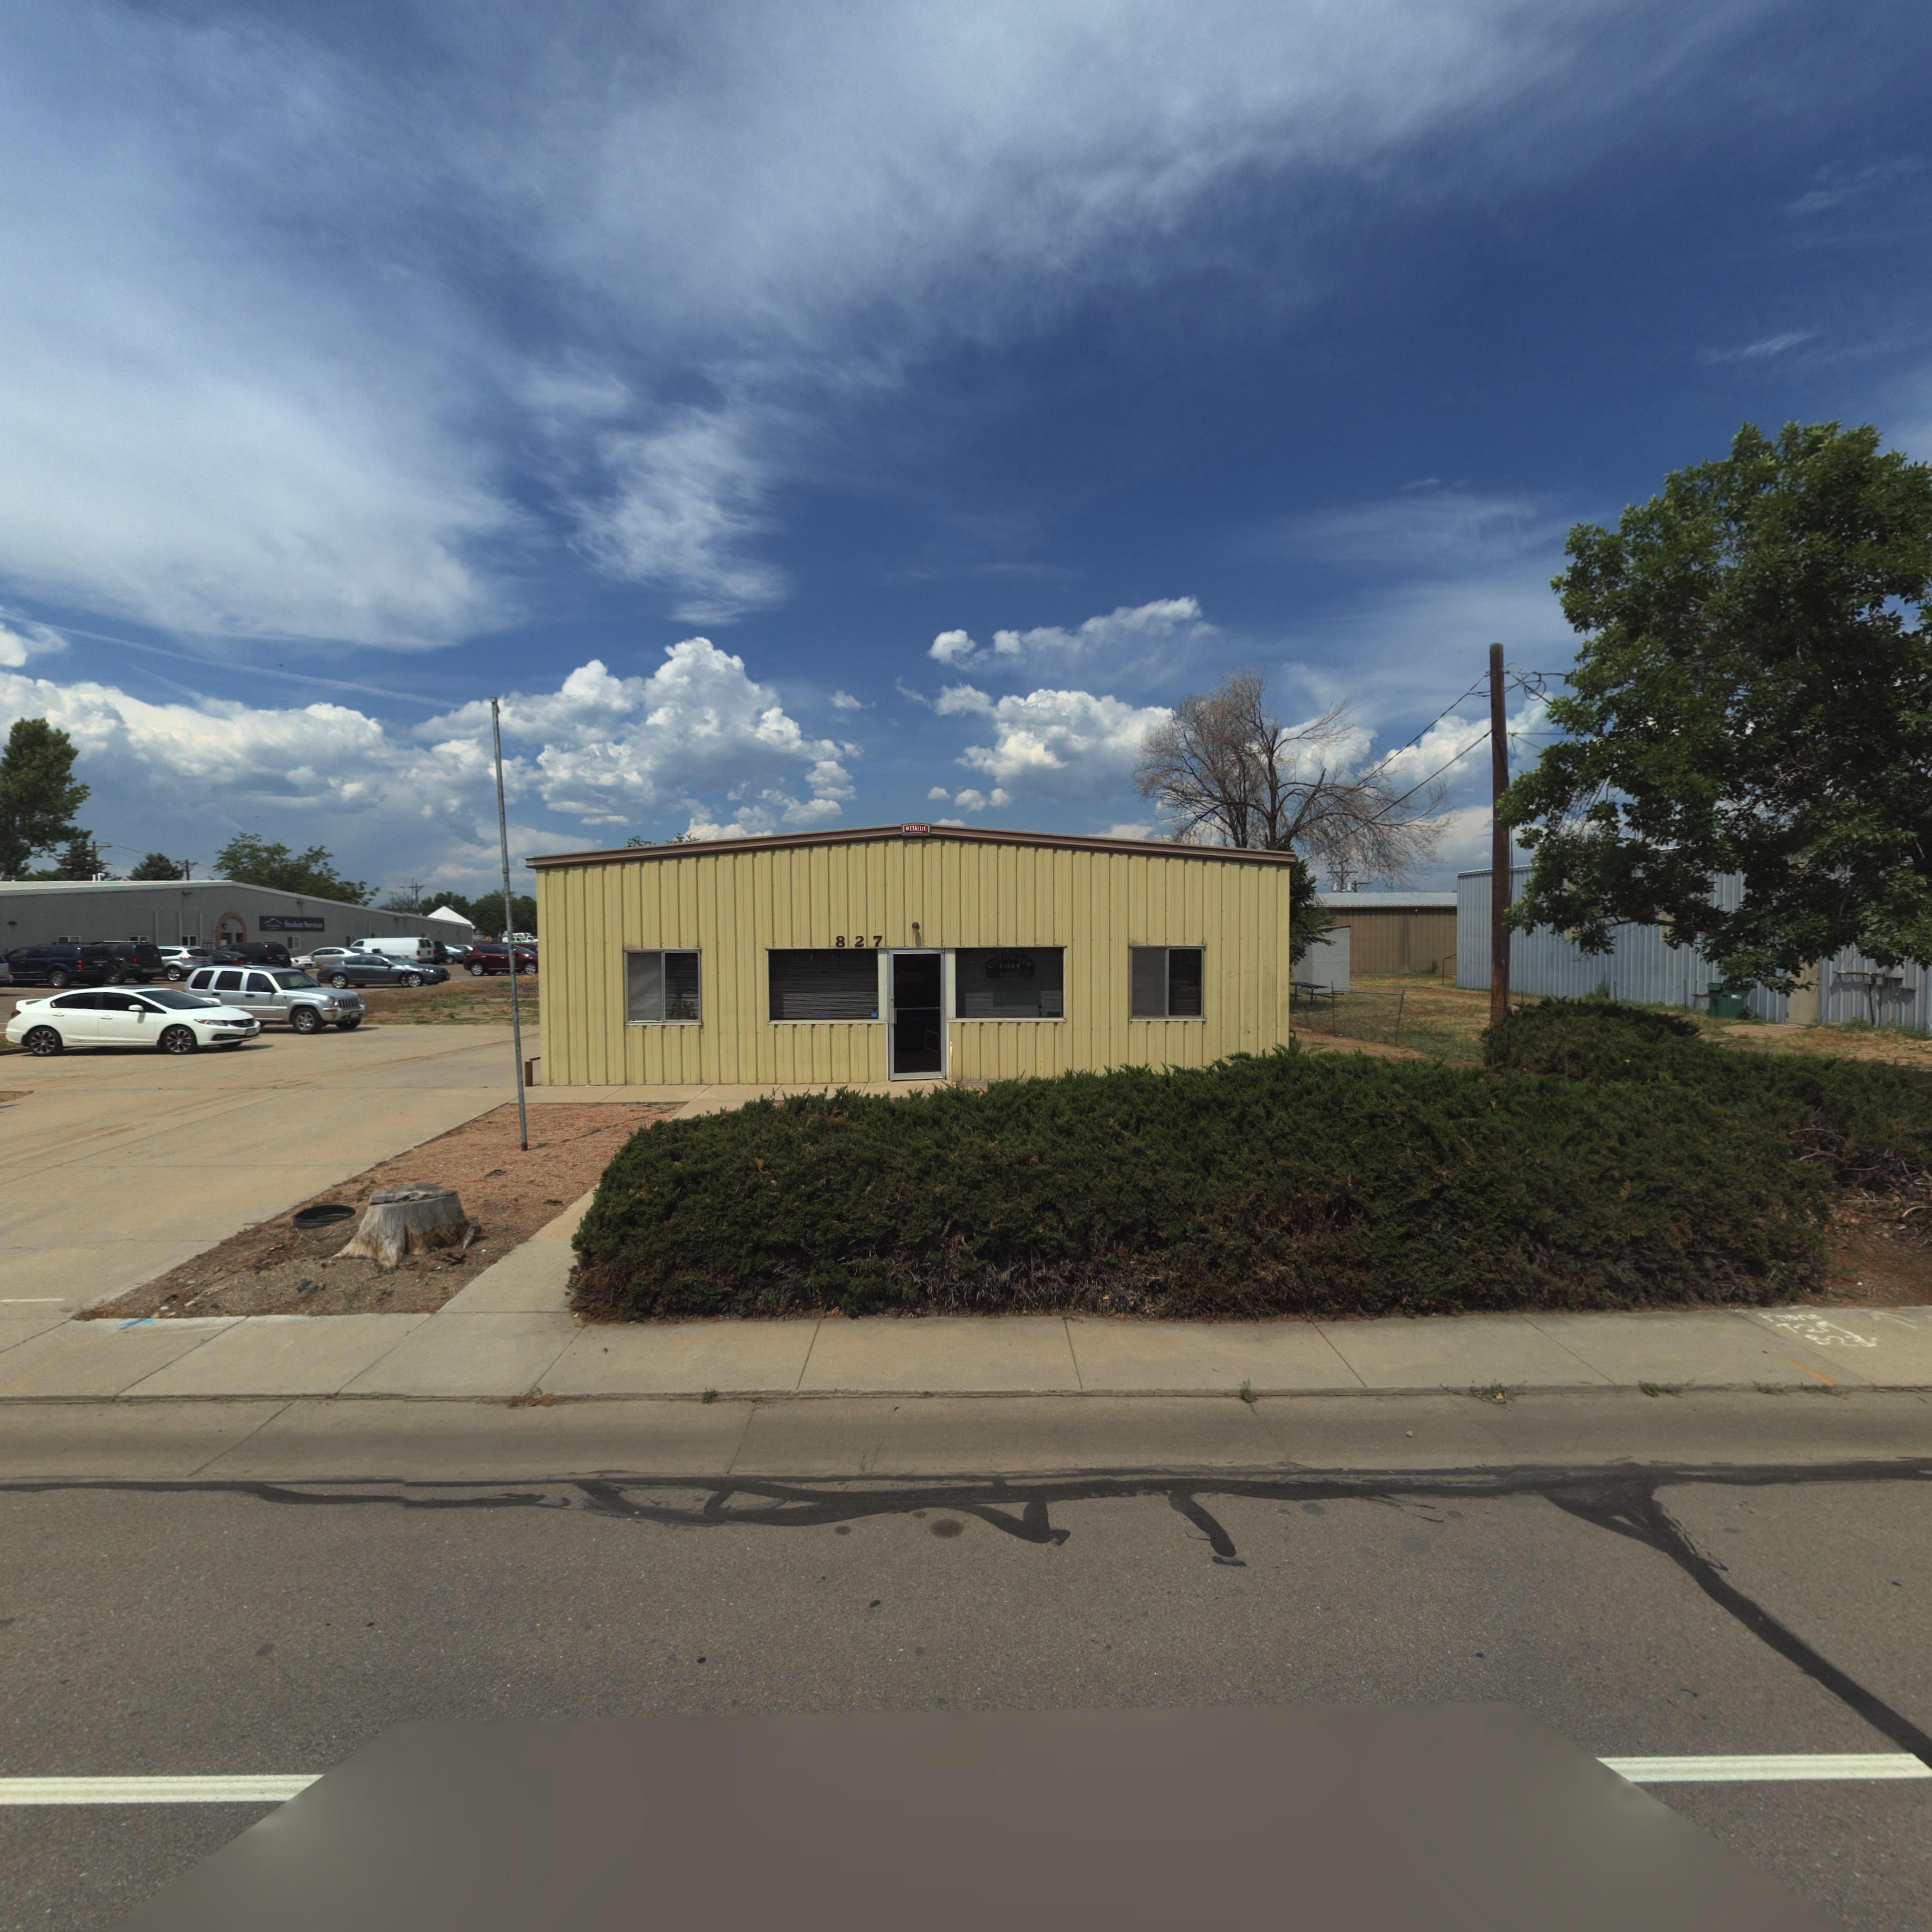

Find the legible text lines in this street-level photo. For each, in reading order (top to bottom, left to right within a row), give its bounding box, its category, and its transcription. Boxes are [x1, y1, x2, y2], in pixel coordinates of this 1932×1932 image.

[835, 935, 882, 947] StreetNumber: 827
[987, 954, 1033, 969] BusinessName: CHROMARK
[999, 963, 1021, 969] BusinessName: CORP